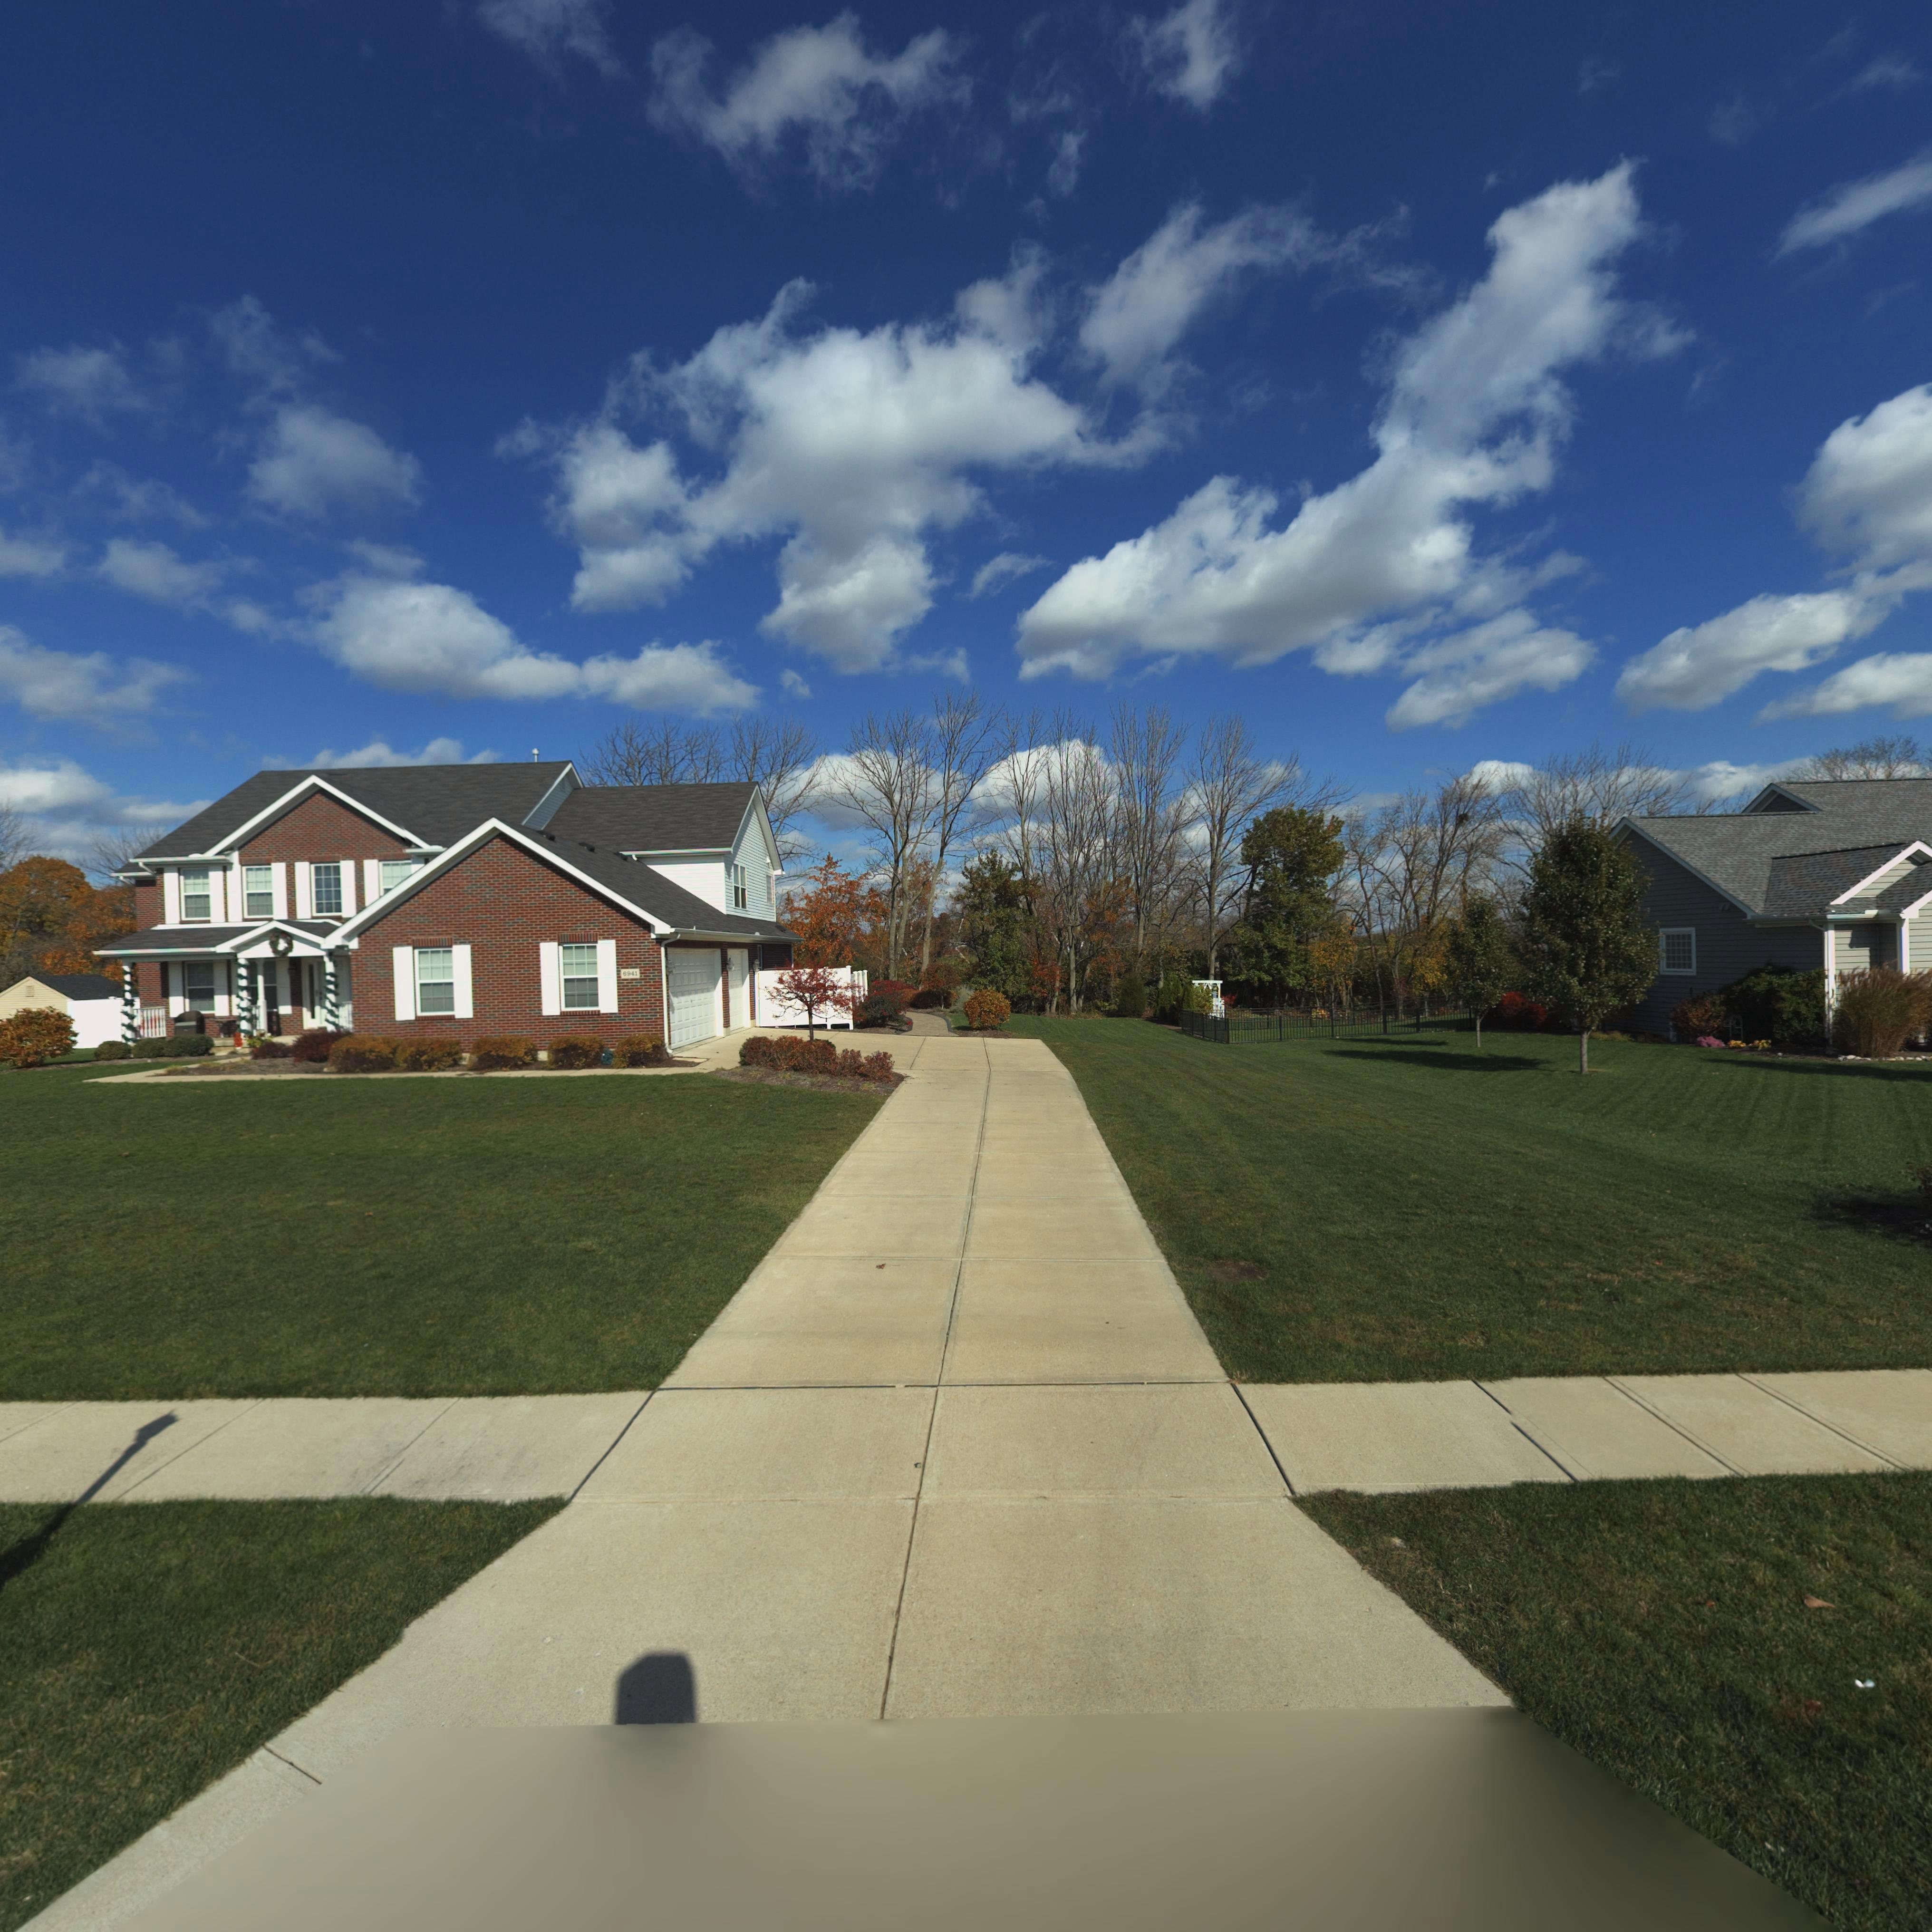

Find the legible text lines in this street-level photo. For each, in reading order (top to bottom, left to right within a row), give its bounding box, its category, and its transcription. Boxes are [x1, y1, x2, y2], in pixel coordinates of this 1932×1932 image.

[622, 970, 638, 977] StreetNumber: 6941